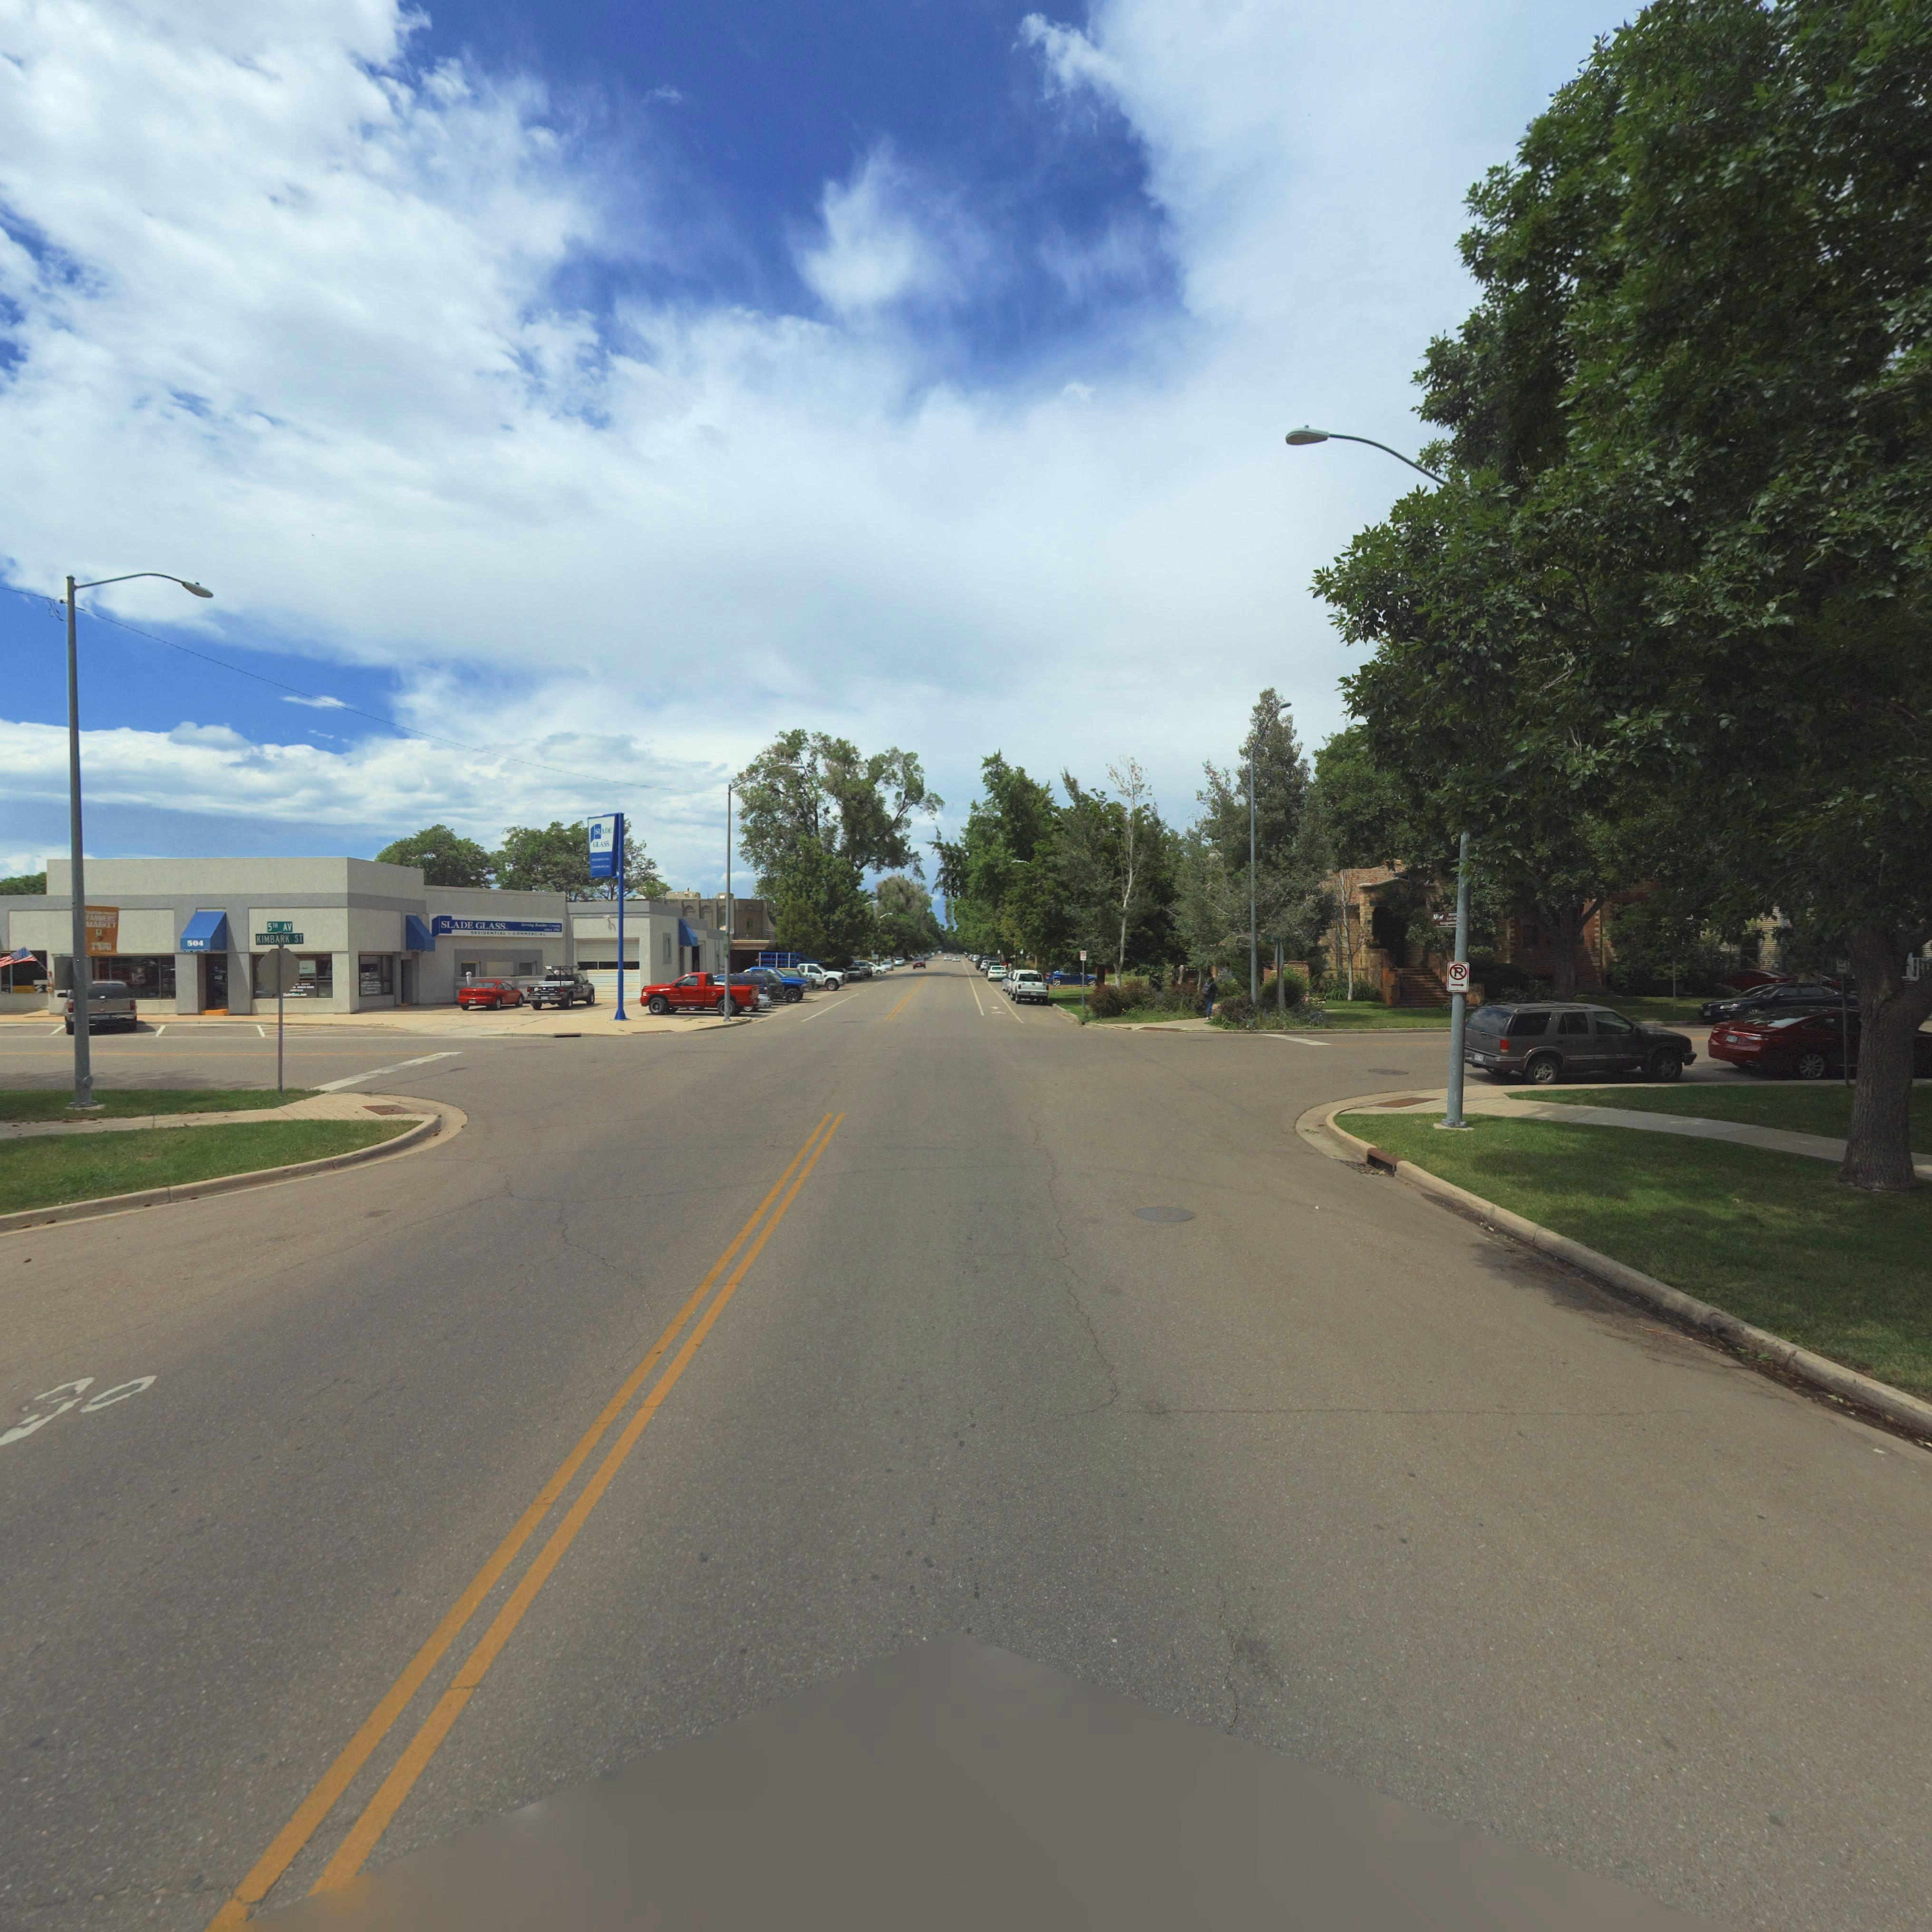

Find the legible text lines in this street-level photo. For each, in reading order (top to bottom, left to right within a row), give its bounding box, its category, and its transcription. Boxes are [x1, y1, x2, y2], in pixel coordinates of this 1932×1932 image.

[594, 826, 612, 835] BusinessName: SLADE
[592, 840, 609, 848] BusinessName: GLASS
[268, 922, 292, 931] StreetName: 5TH AV
[440, 920, 506, 929] BusinessName: SLADE GLASS
[256, 934, 303, 944] StreetName: KIMBARK ST